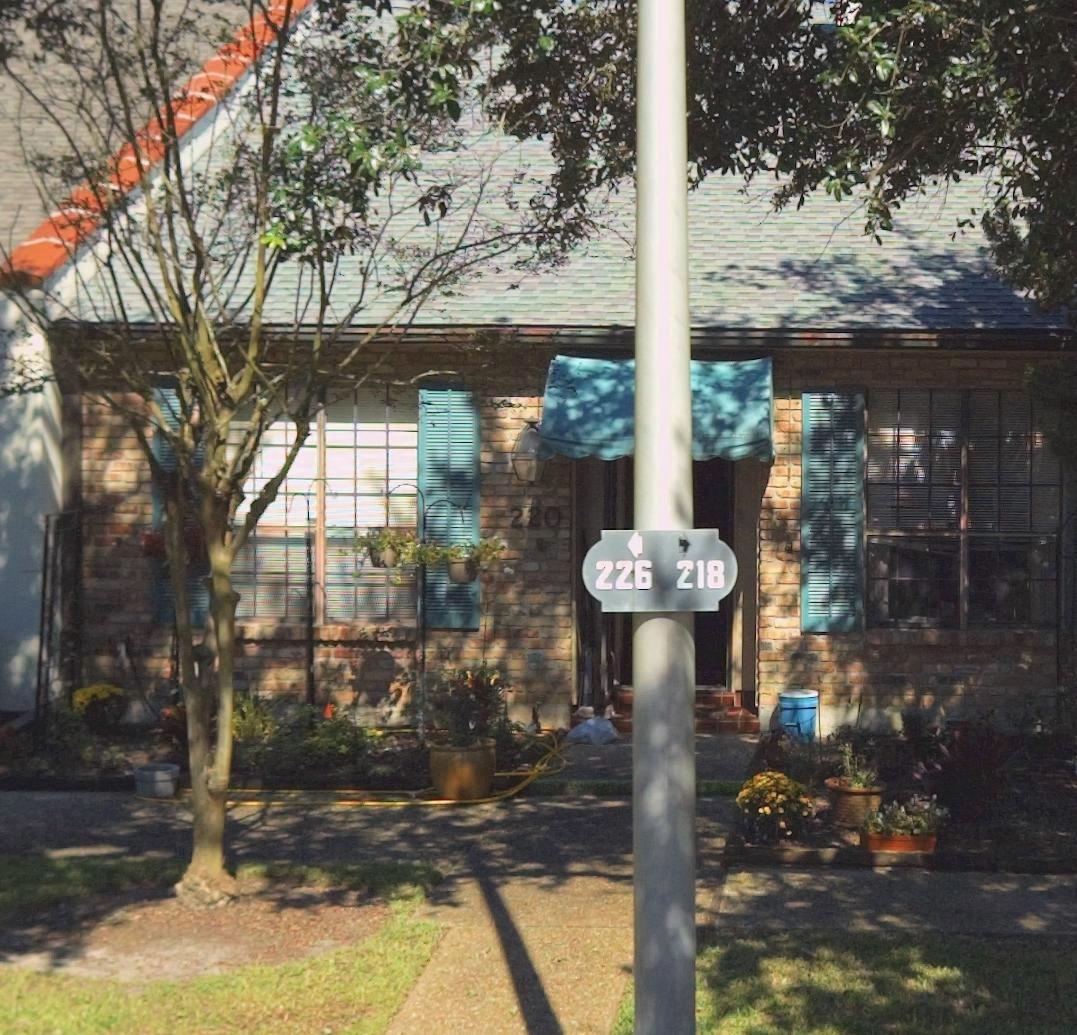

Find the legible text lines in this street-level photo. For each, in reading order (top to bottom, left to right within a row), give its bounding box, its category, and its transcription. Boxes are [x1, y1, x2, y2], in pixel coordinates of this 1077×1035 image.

[508, 504, 562, 530] StreetNumber: 220
[593, 557, 727, 592] StreetNumberRange: 226 218